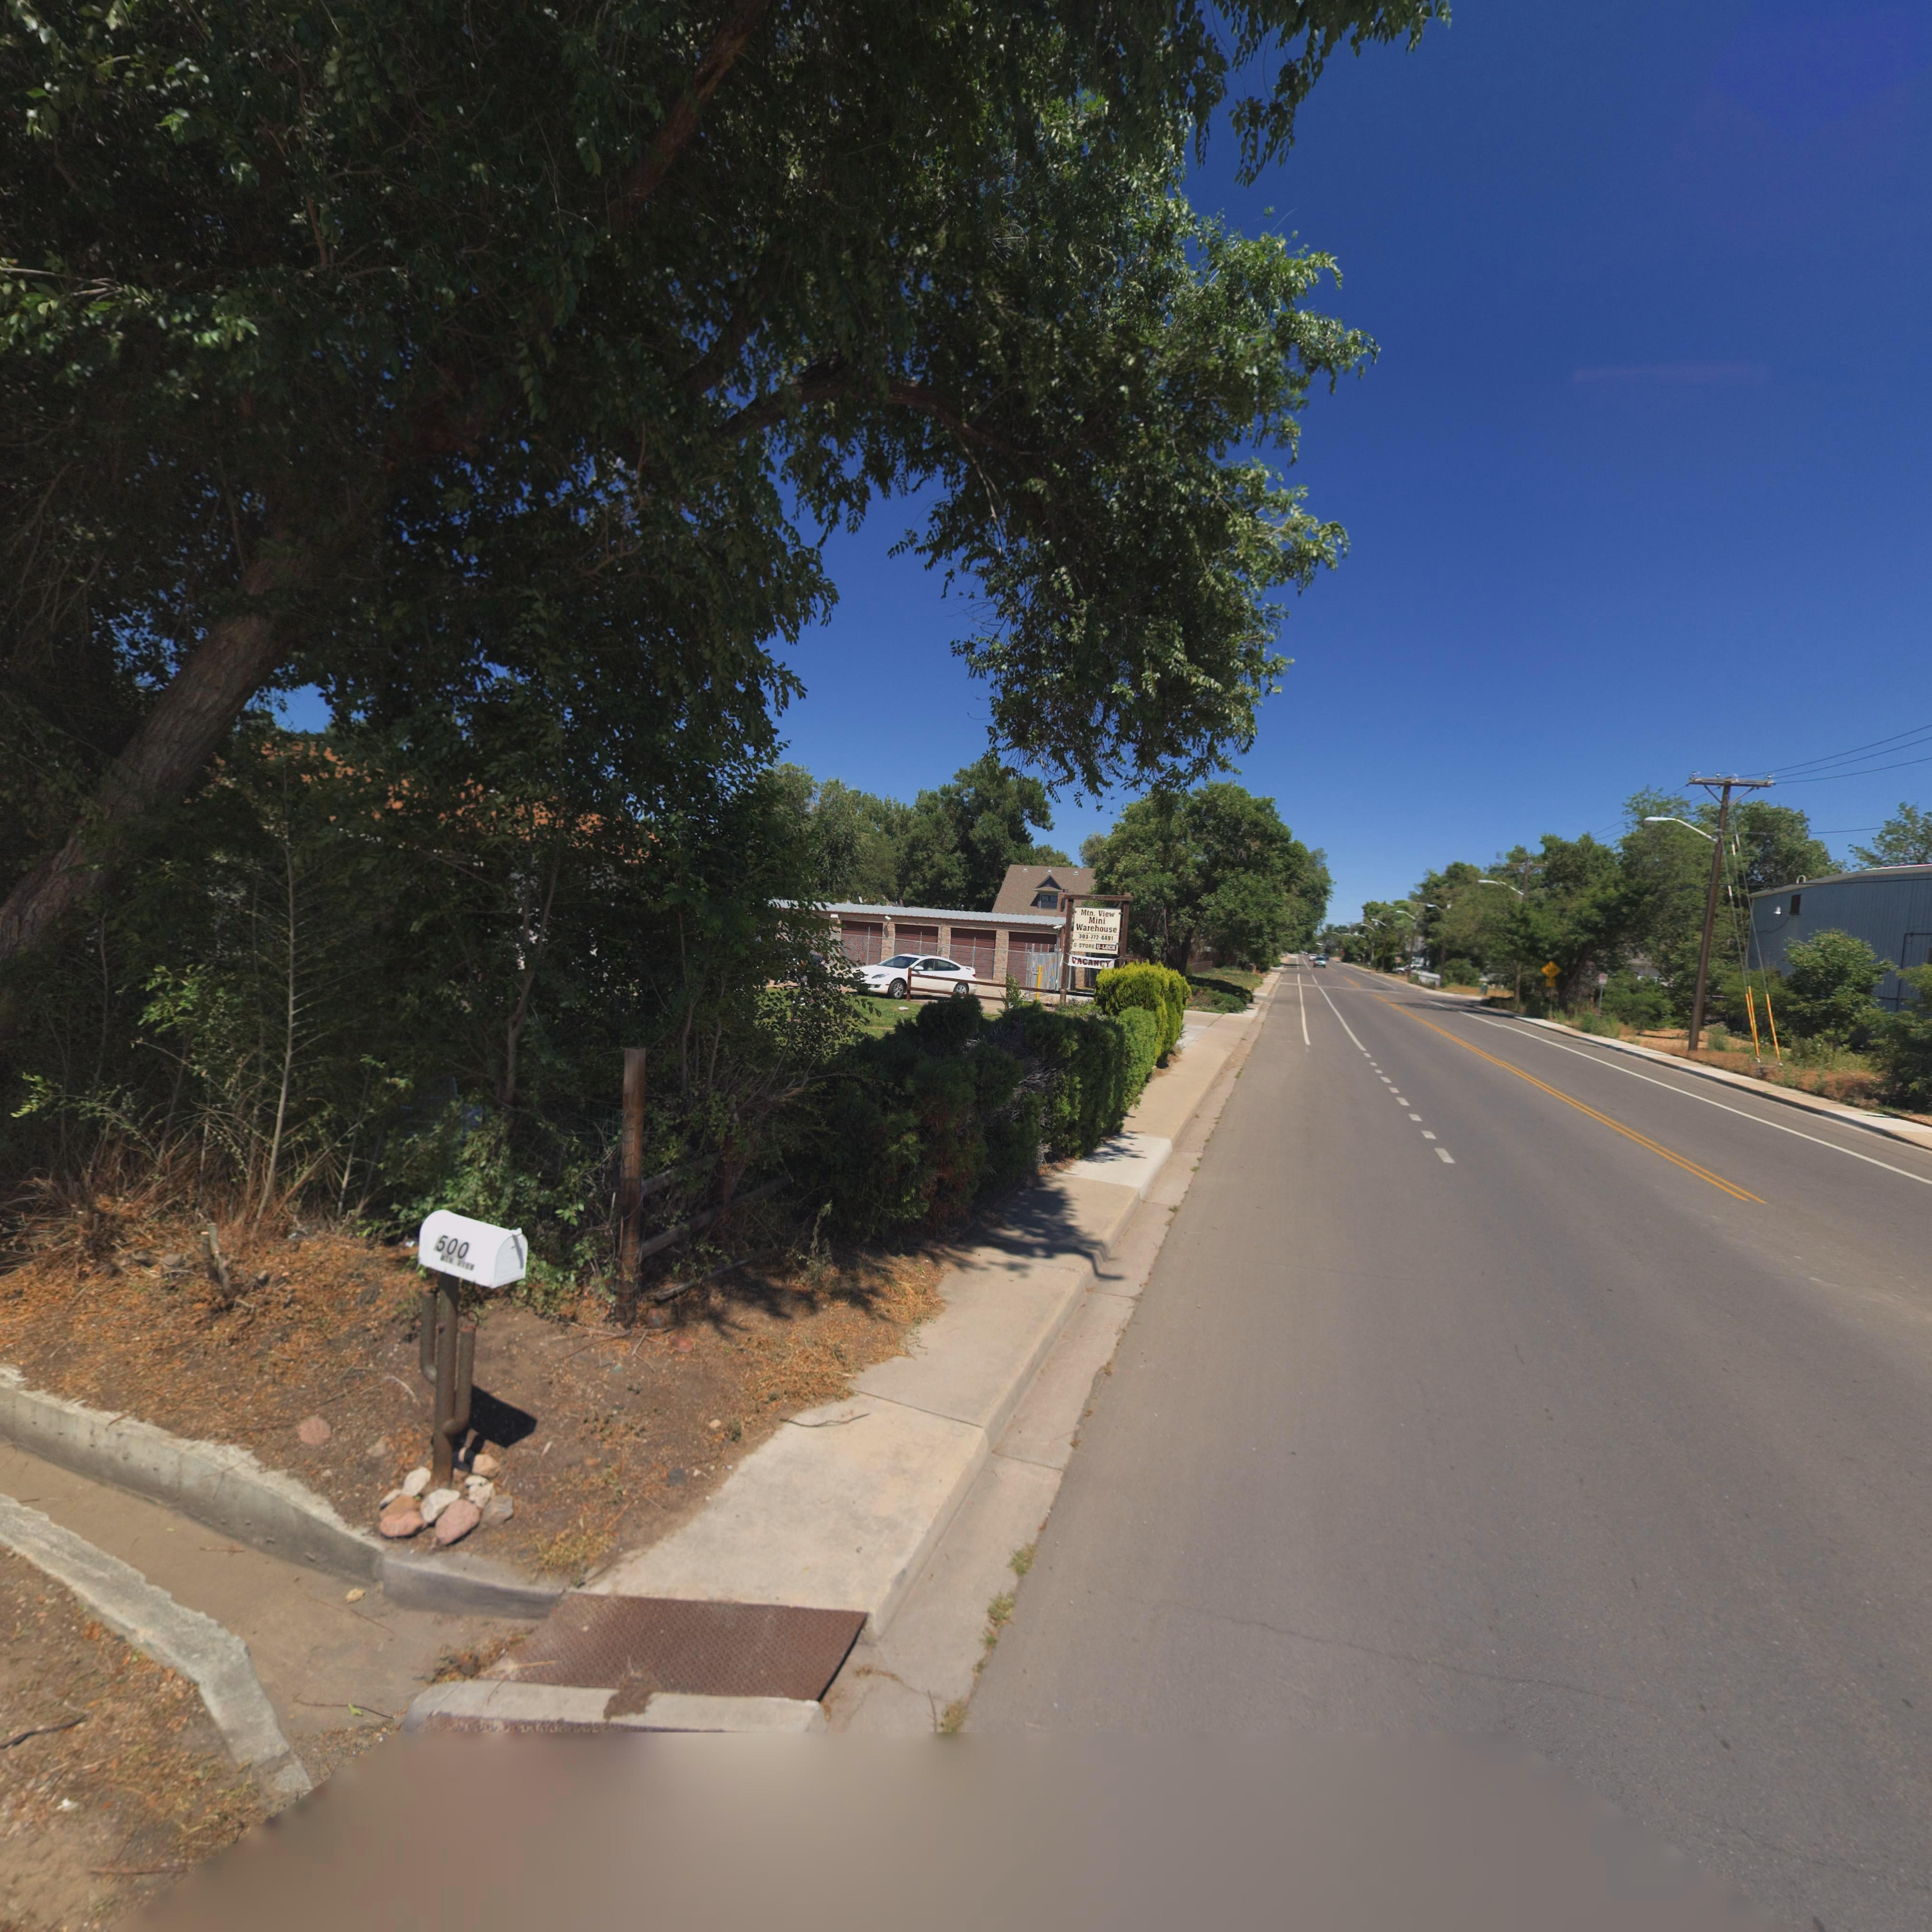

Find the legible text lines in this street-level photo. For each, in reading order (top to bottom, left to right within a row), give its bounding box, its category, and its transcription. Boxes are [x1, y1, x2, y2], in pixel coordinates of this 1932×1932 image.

[1080, 909, 1115, 917] BusinessName: Mtn. View
[1088, 916, 1105, 925] BusinessName: Mini
[1076, 923, 1117, 933] BusinessName: Warehouse
[435, 1234, 469, 1259] StreetNumber: 500
[439, 1253, 475, 1271] StreetName: MT* V**W